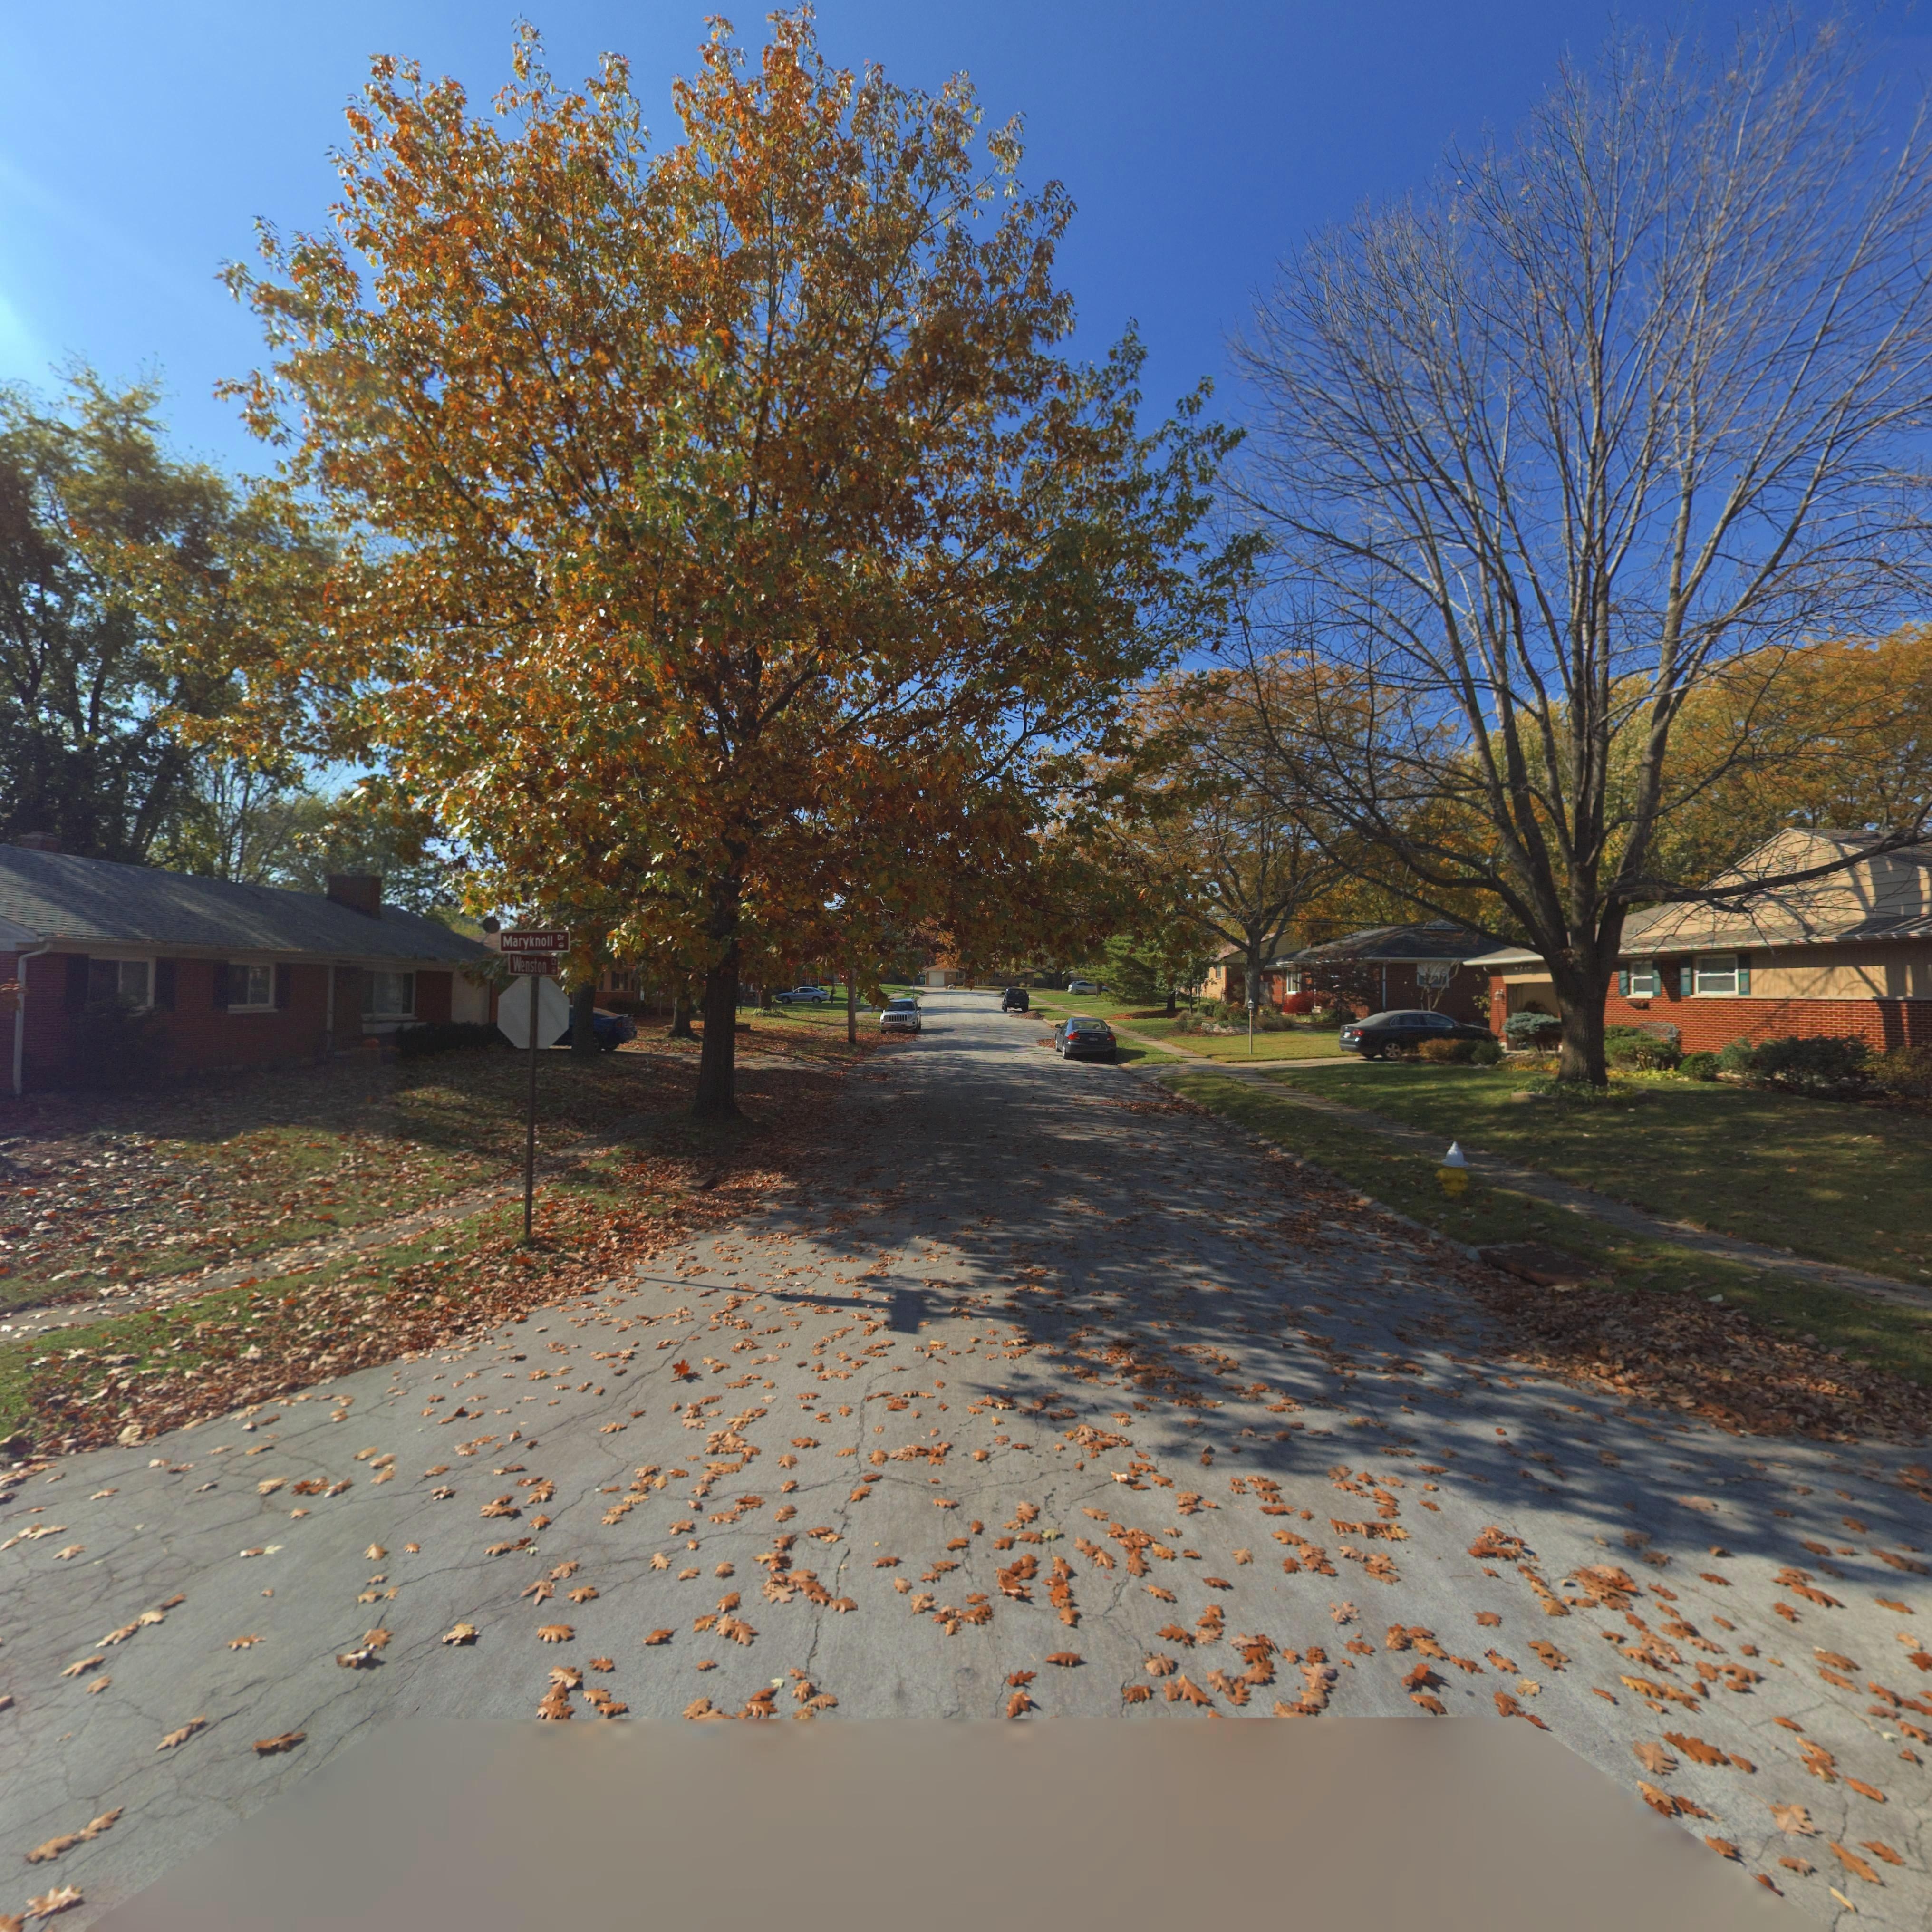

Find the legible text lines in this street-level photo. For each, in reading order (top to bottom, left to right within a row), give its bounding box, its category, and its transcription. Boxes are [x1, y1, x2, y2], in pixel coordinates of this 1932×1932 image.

[502, 934, 565, 950] StreetName: Maryknoll Dr
[511, 955, 557, 974] StreetName: Wenston Ct